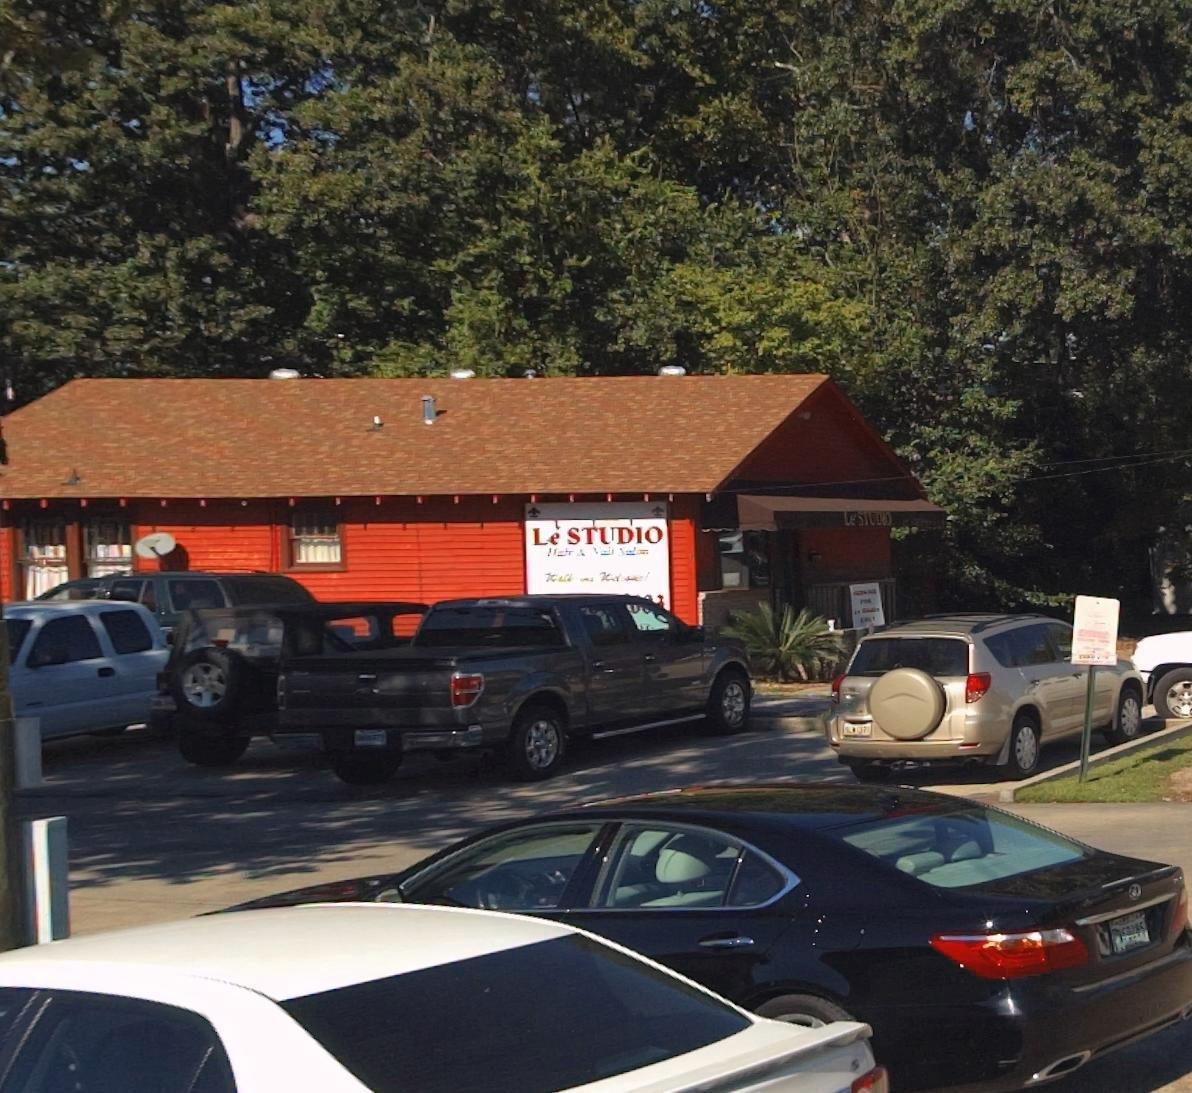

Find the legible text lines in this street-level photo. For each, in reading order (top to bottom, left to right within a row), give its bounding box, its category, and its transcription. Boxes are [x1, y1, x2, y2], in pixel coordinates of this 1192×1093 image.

[842, 510, 894, 527] BusinessName: LeSTUDIO
[532, 526, 665, 547] BusinessName: Le STUDIO